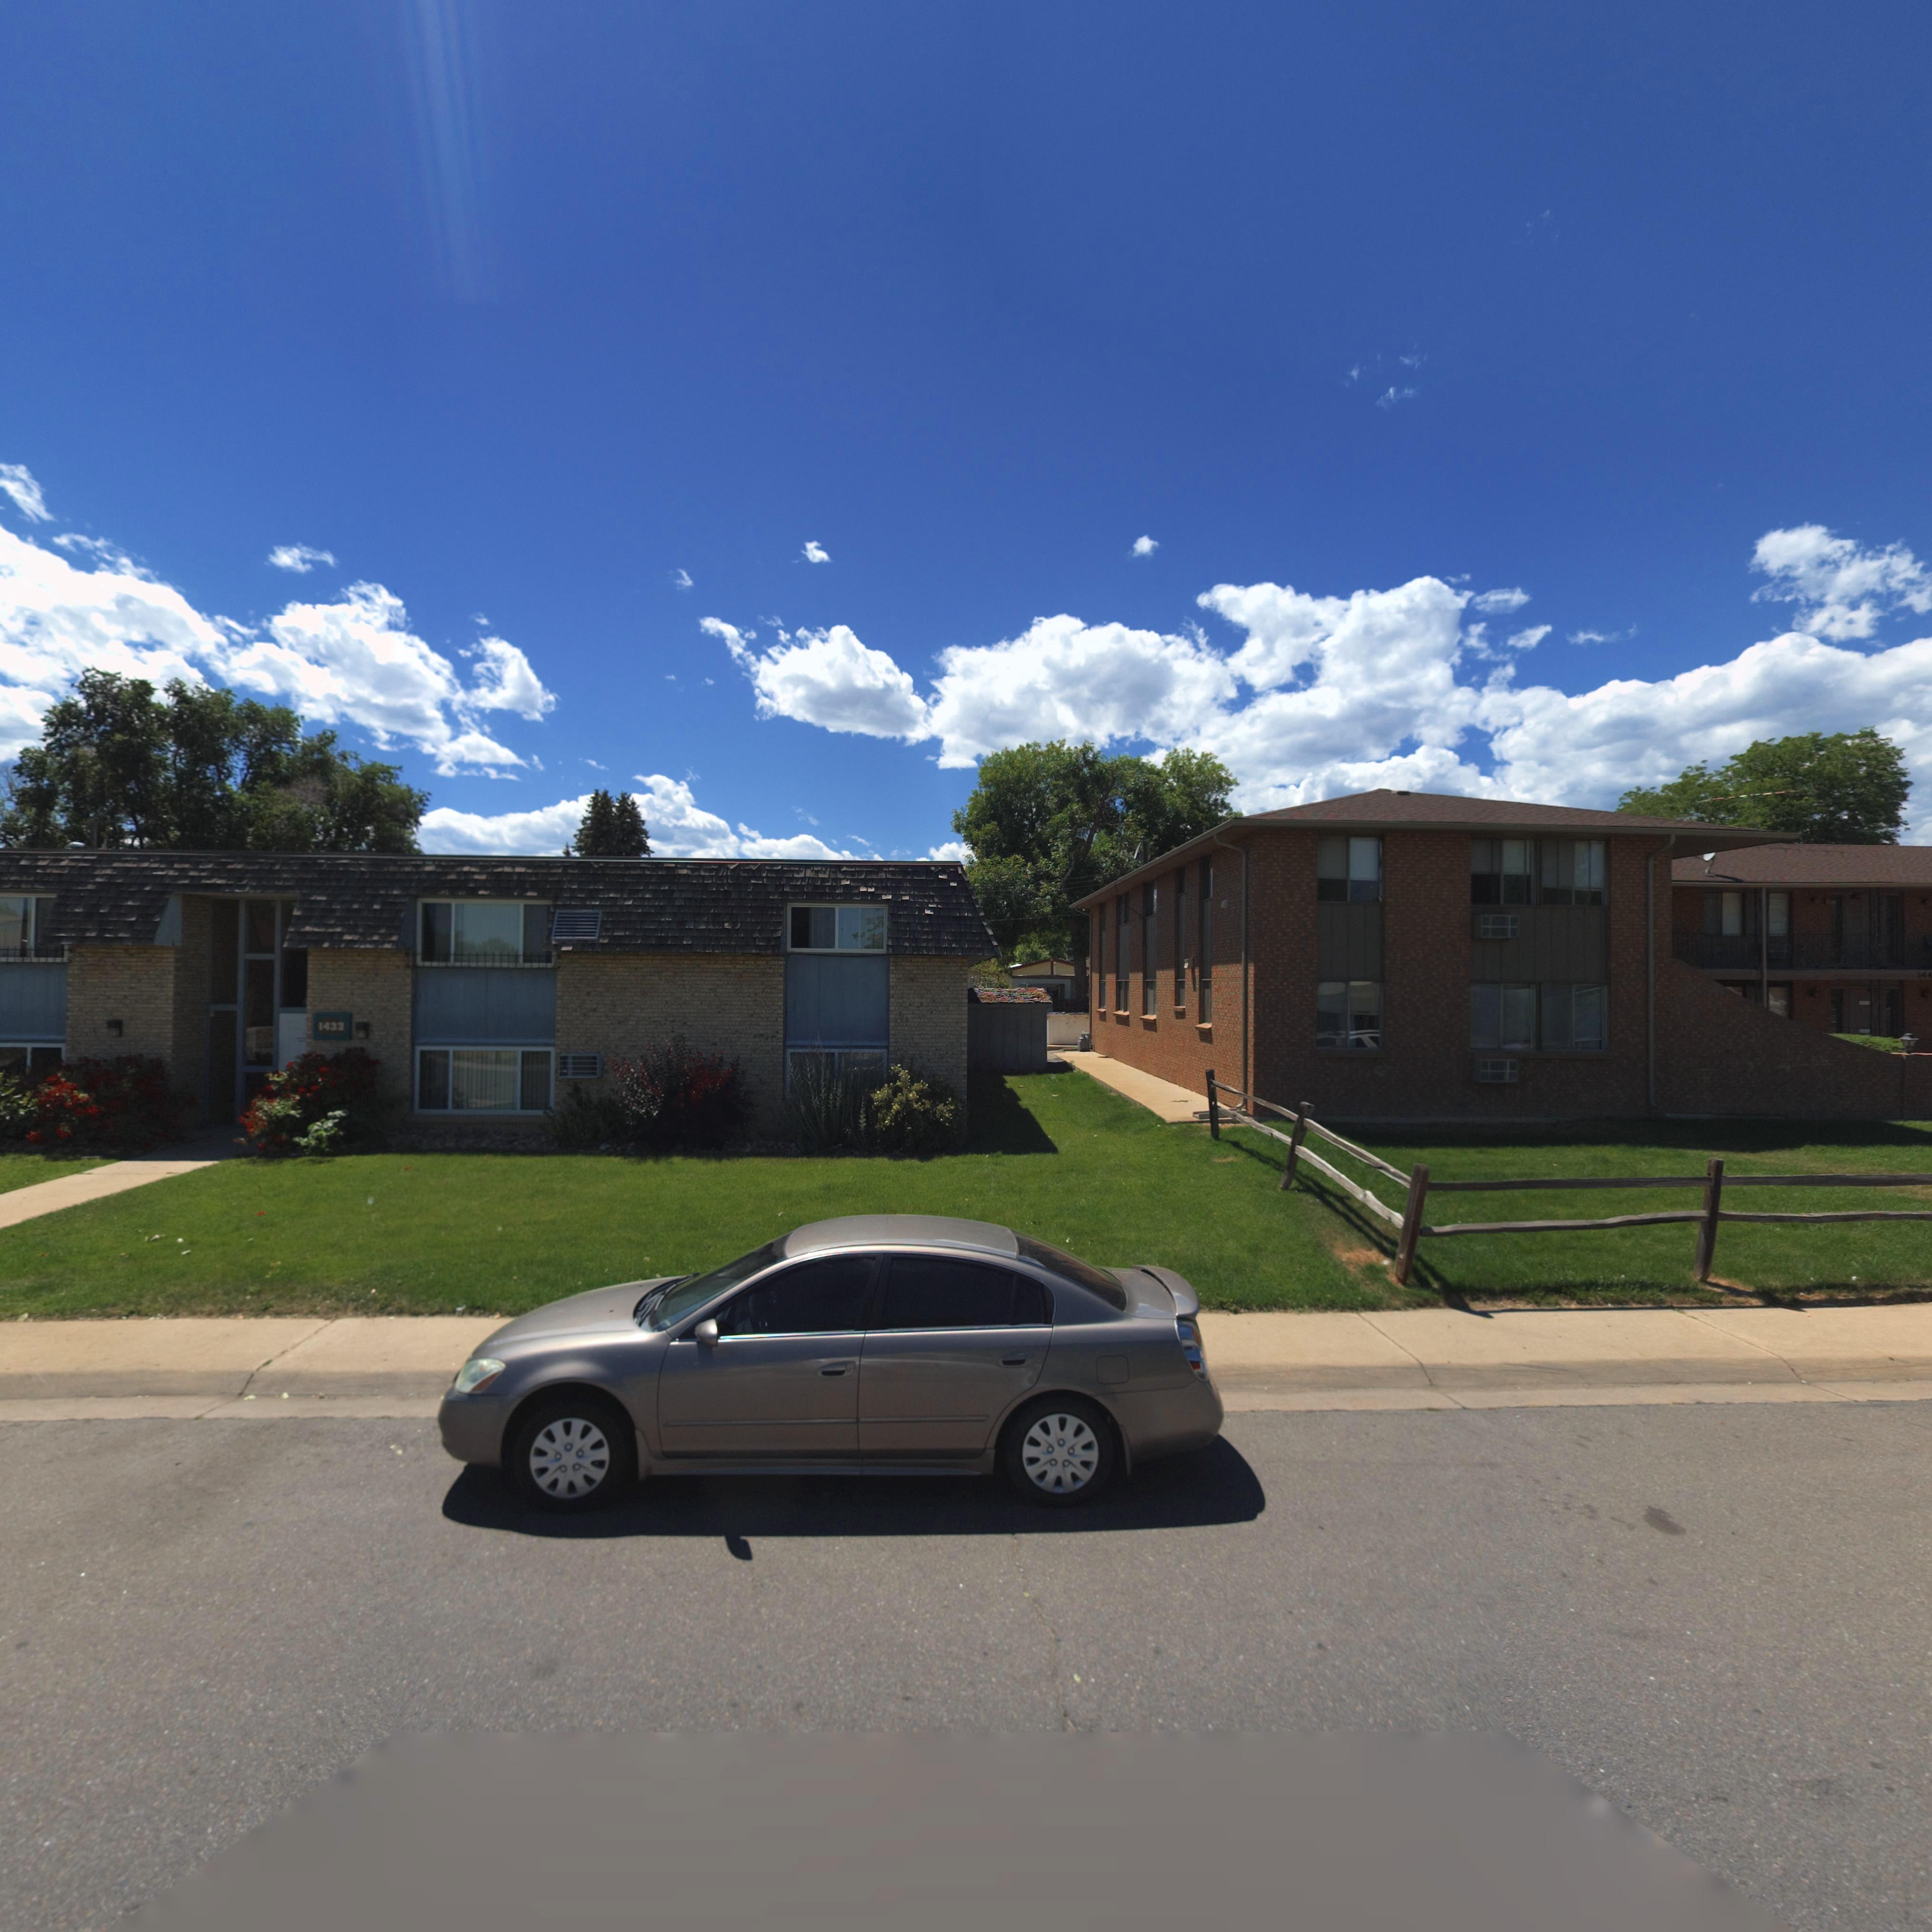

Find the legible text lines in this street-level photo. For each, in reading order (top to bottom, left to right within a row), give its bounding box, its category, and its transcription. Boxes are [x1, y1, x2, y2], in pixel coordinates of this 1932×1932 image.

[1918, 971, 1926, 979] StreetNumber: 14
[318, 1021, 345, 1031] StreetNumber: 1433